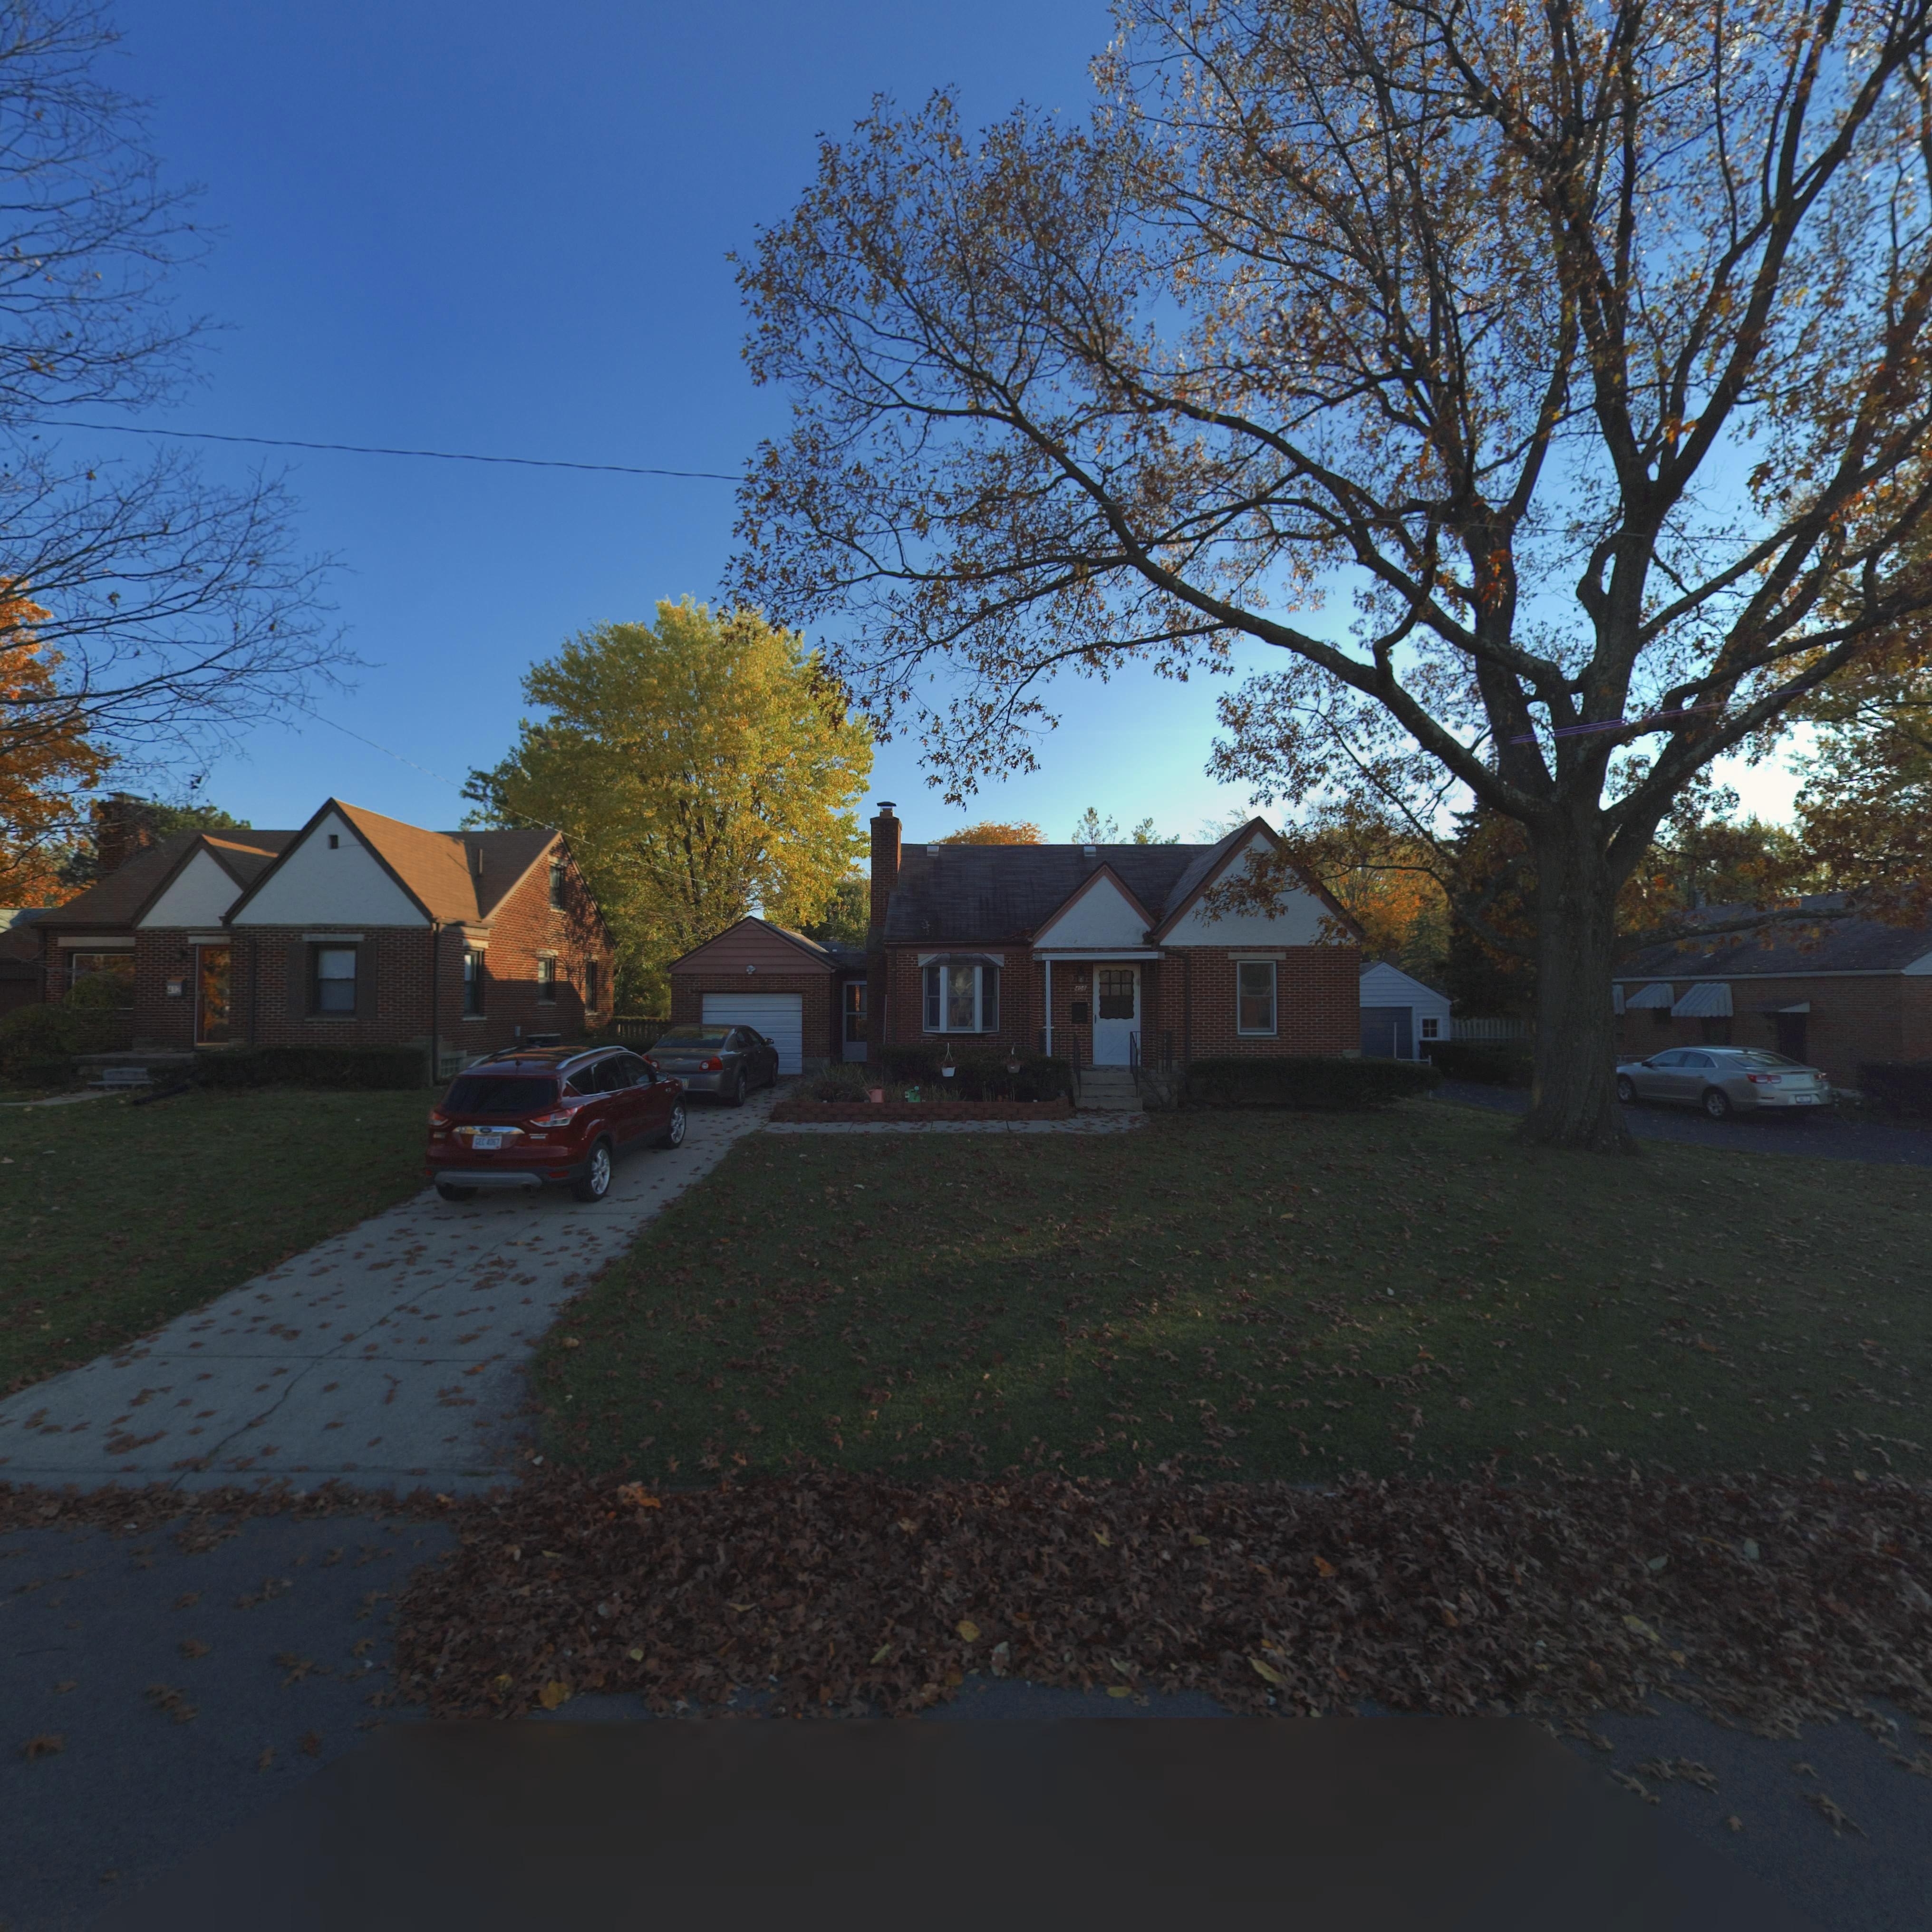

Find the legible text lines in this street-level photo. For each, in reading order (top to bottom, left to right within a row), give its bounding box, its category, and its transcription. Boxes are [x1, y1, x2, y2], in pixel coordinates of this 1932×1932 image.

[166, 985, 181, 993] StreetNumber: 412
[1075, 985, 1086, 991] StreetNumber: 408